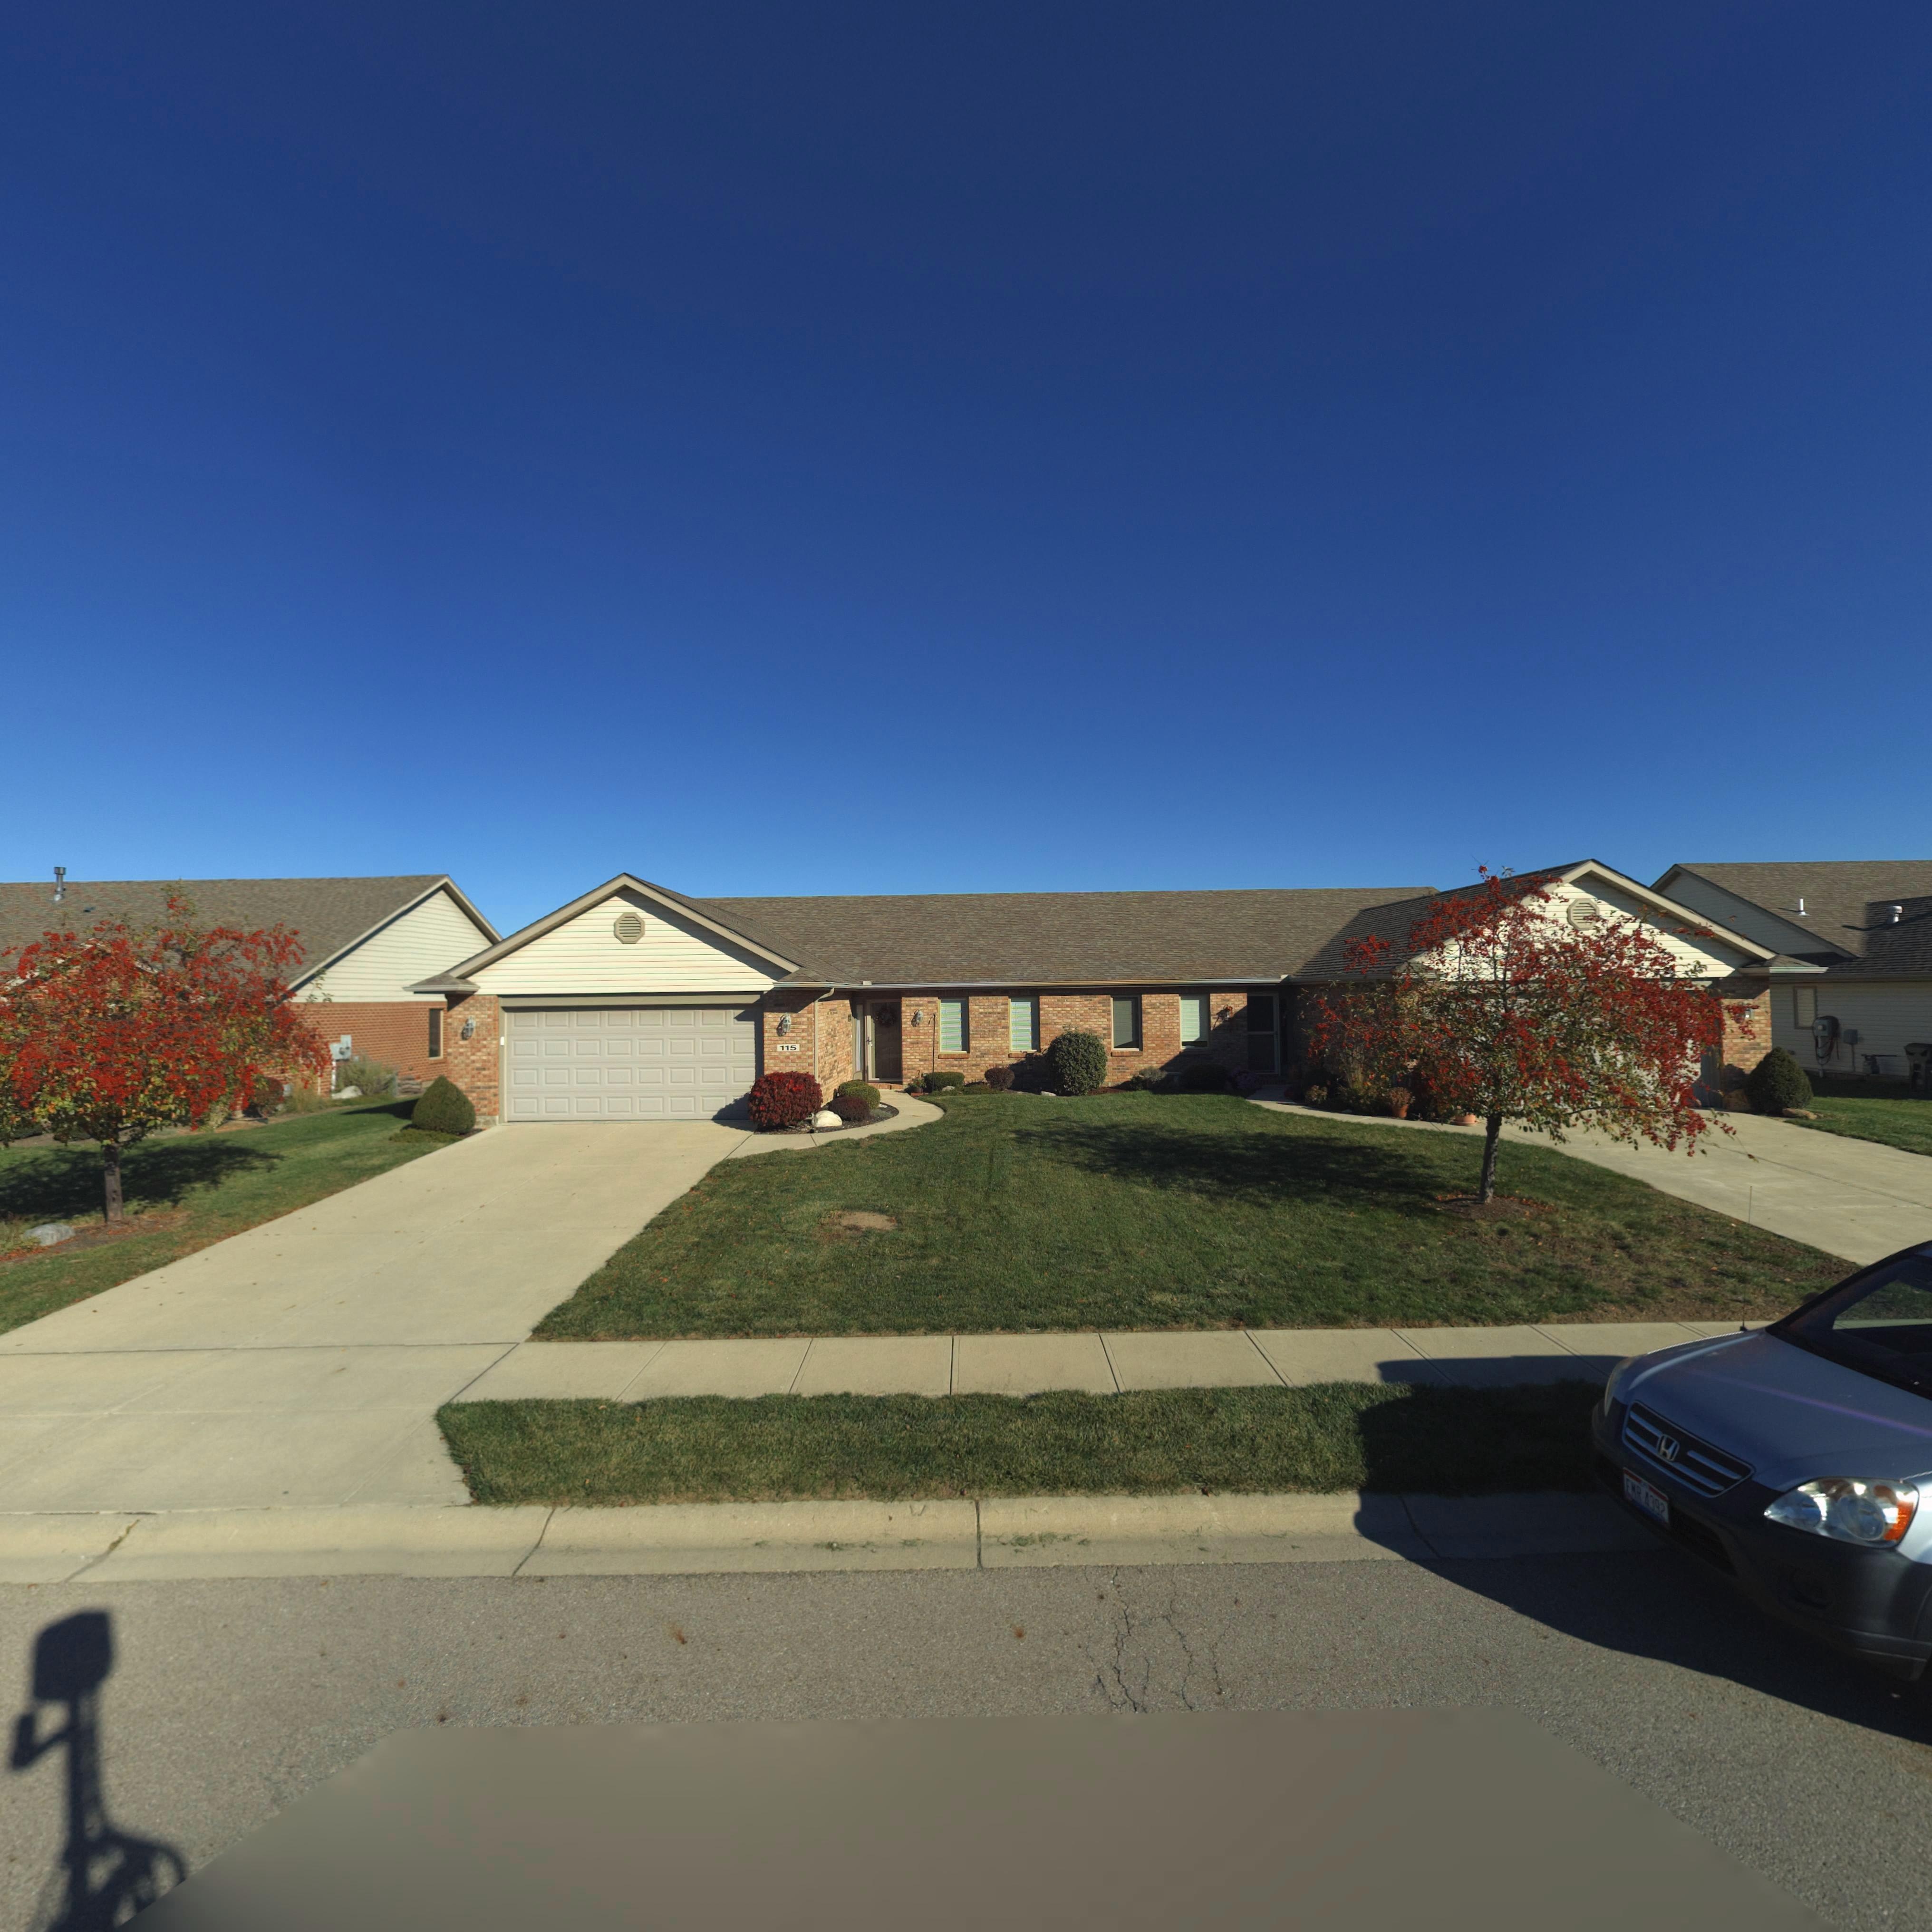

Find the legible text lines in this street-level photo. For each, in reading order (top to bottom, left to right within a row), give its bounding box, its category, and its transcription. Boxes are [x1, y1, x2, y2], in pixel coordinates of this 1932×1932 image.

[779, 1044, 797, 1051] StreetNumber: 115